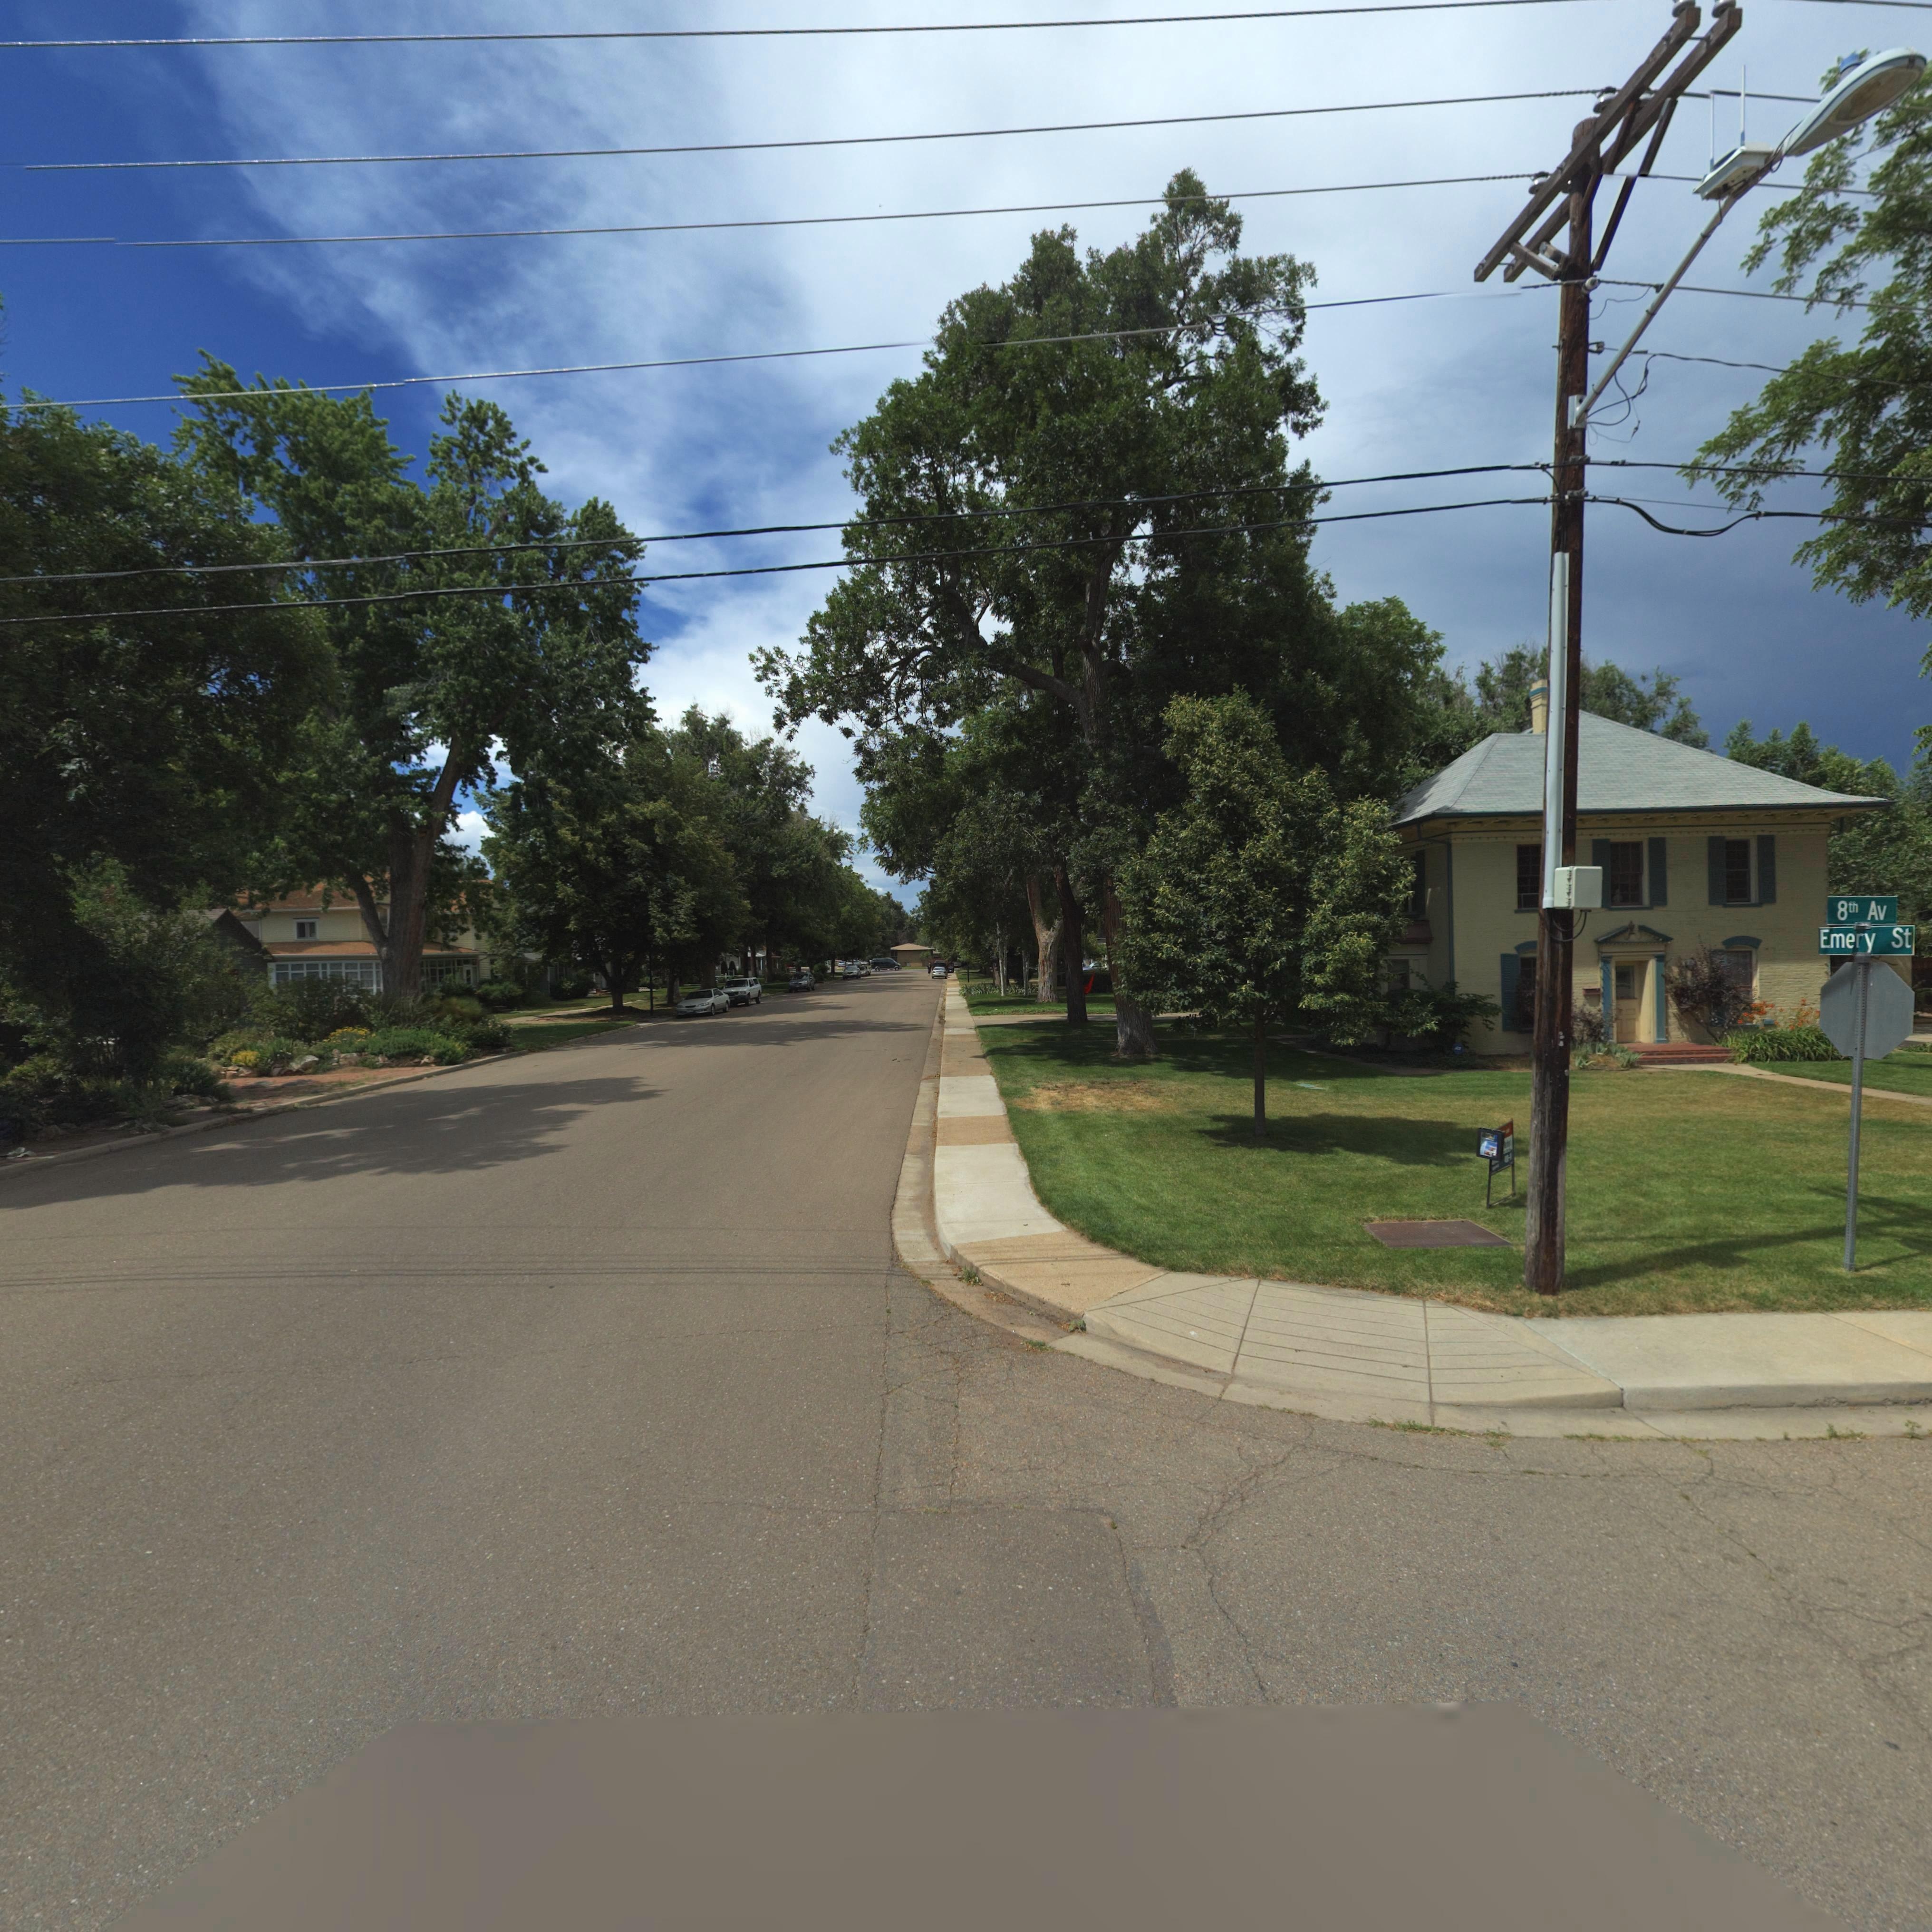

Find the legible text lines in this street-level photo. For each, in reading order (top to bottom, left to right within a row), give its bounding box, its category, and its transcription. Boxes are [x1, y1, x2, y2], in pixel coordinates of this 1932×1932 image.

[1836, 899, 1888, 921] BusinessName: 8th Av
[1819, 926, 1913, 953] StreetName: Emery St